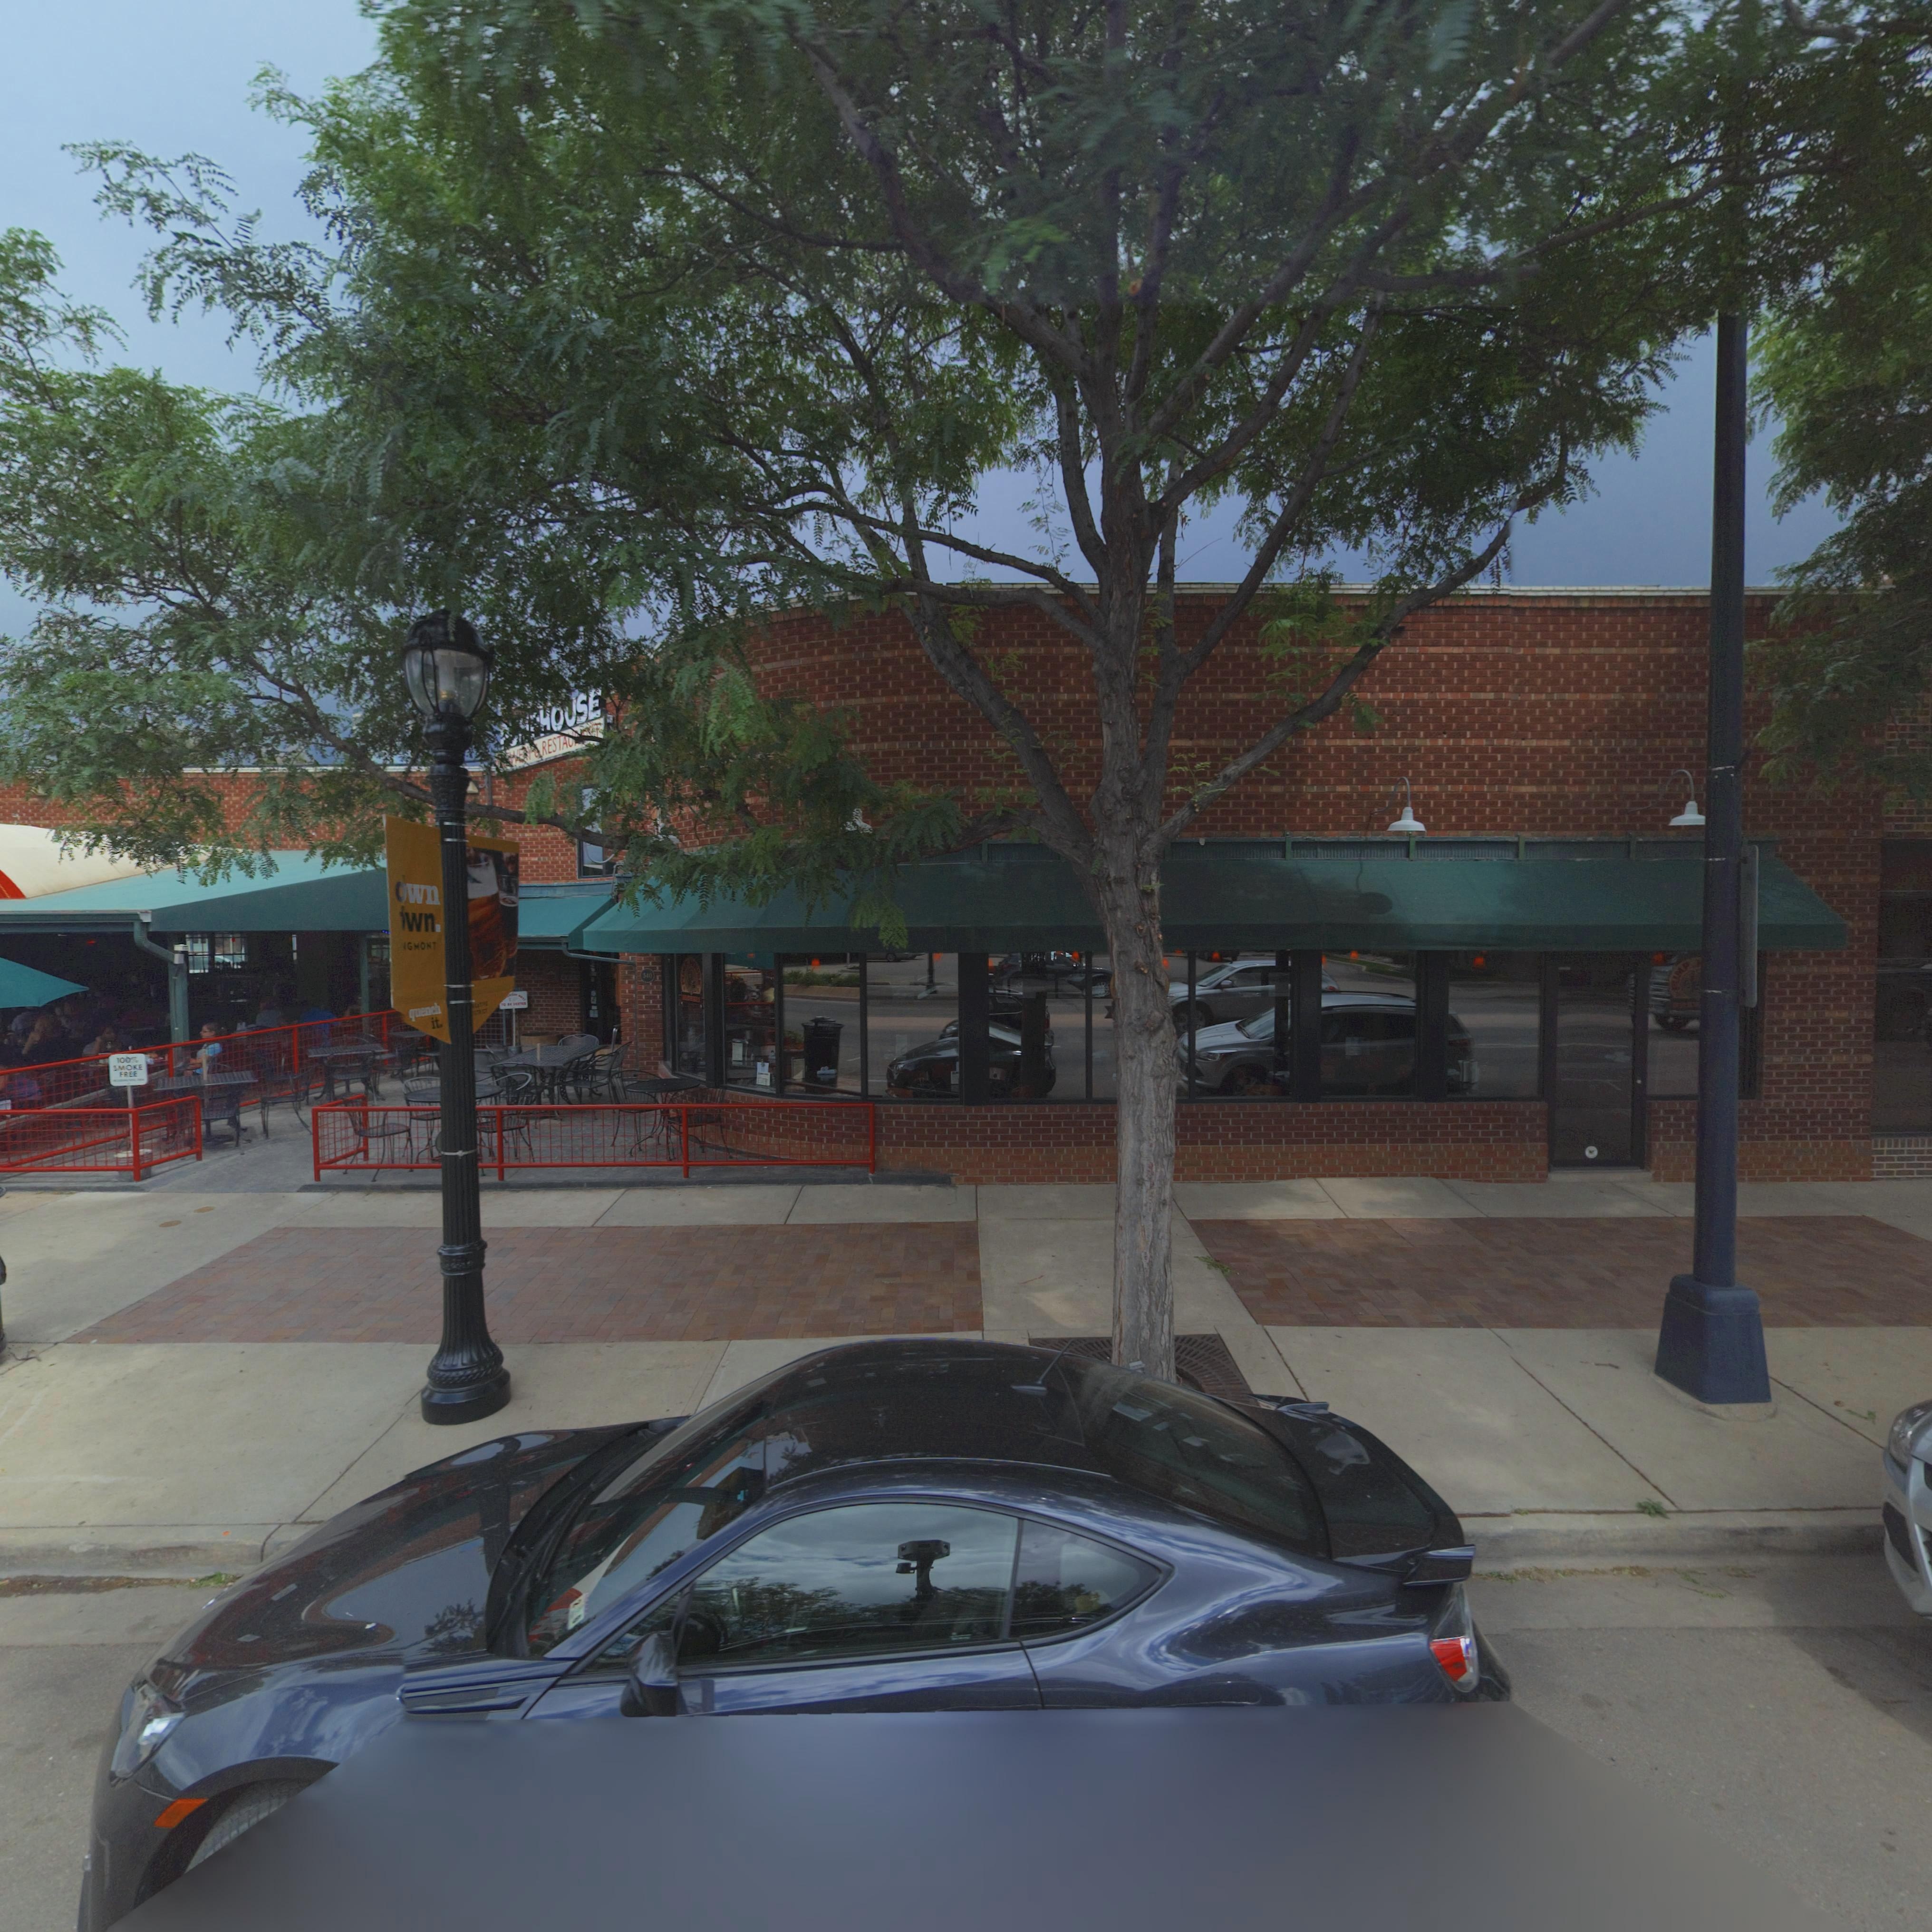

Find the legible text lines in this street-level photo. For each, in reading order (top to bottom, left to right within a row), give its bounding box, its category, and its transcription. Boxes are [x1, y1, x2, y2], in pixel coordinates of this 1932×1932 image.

[539, 686, 602, 737] BusinessName: HOUSE
[541, 721, 601, 756] BusinessName: RESTAU****
[642, 972, 652, 979] StreetNumber: 540
[680, 957, 702, 987] BusinessName: PUMP HOUSE